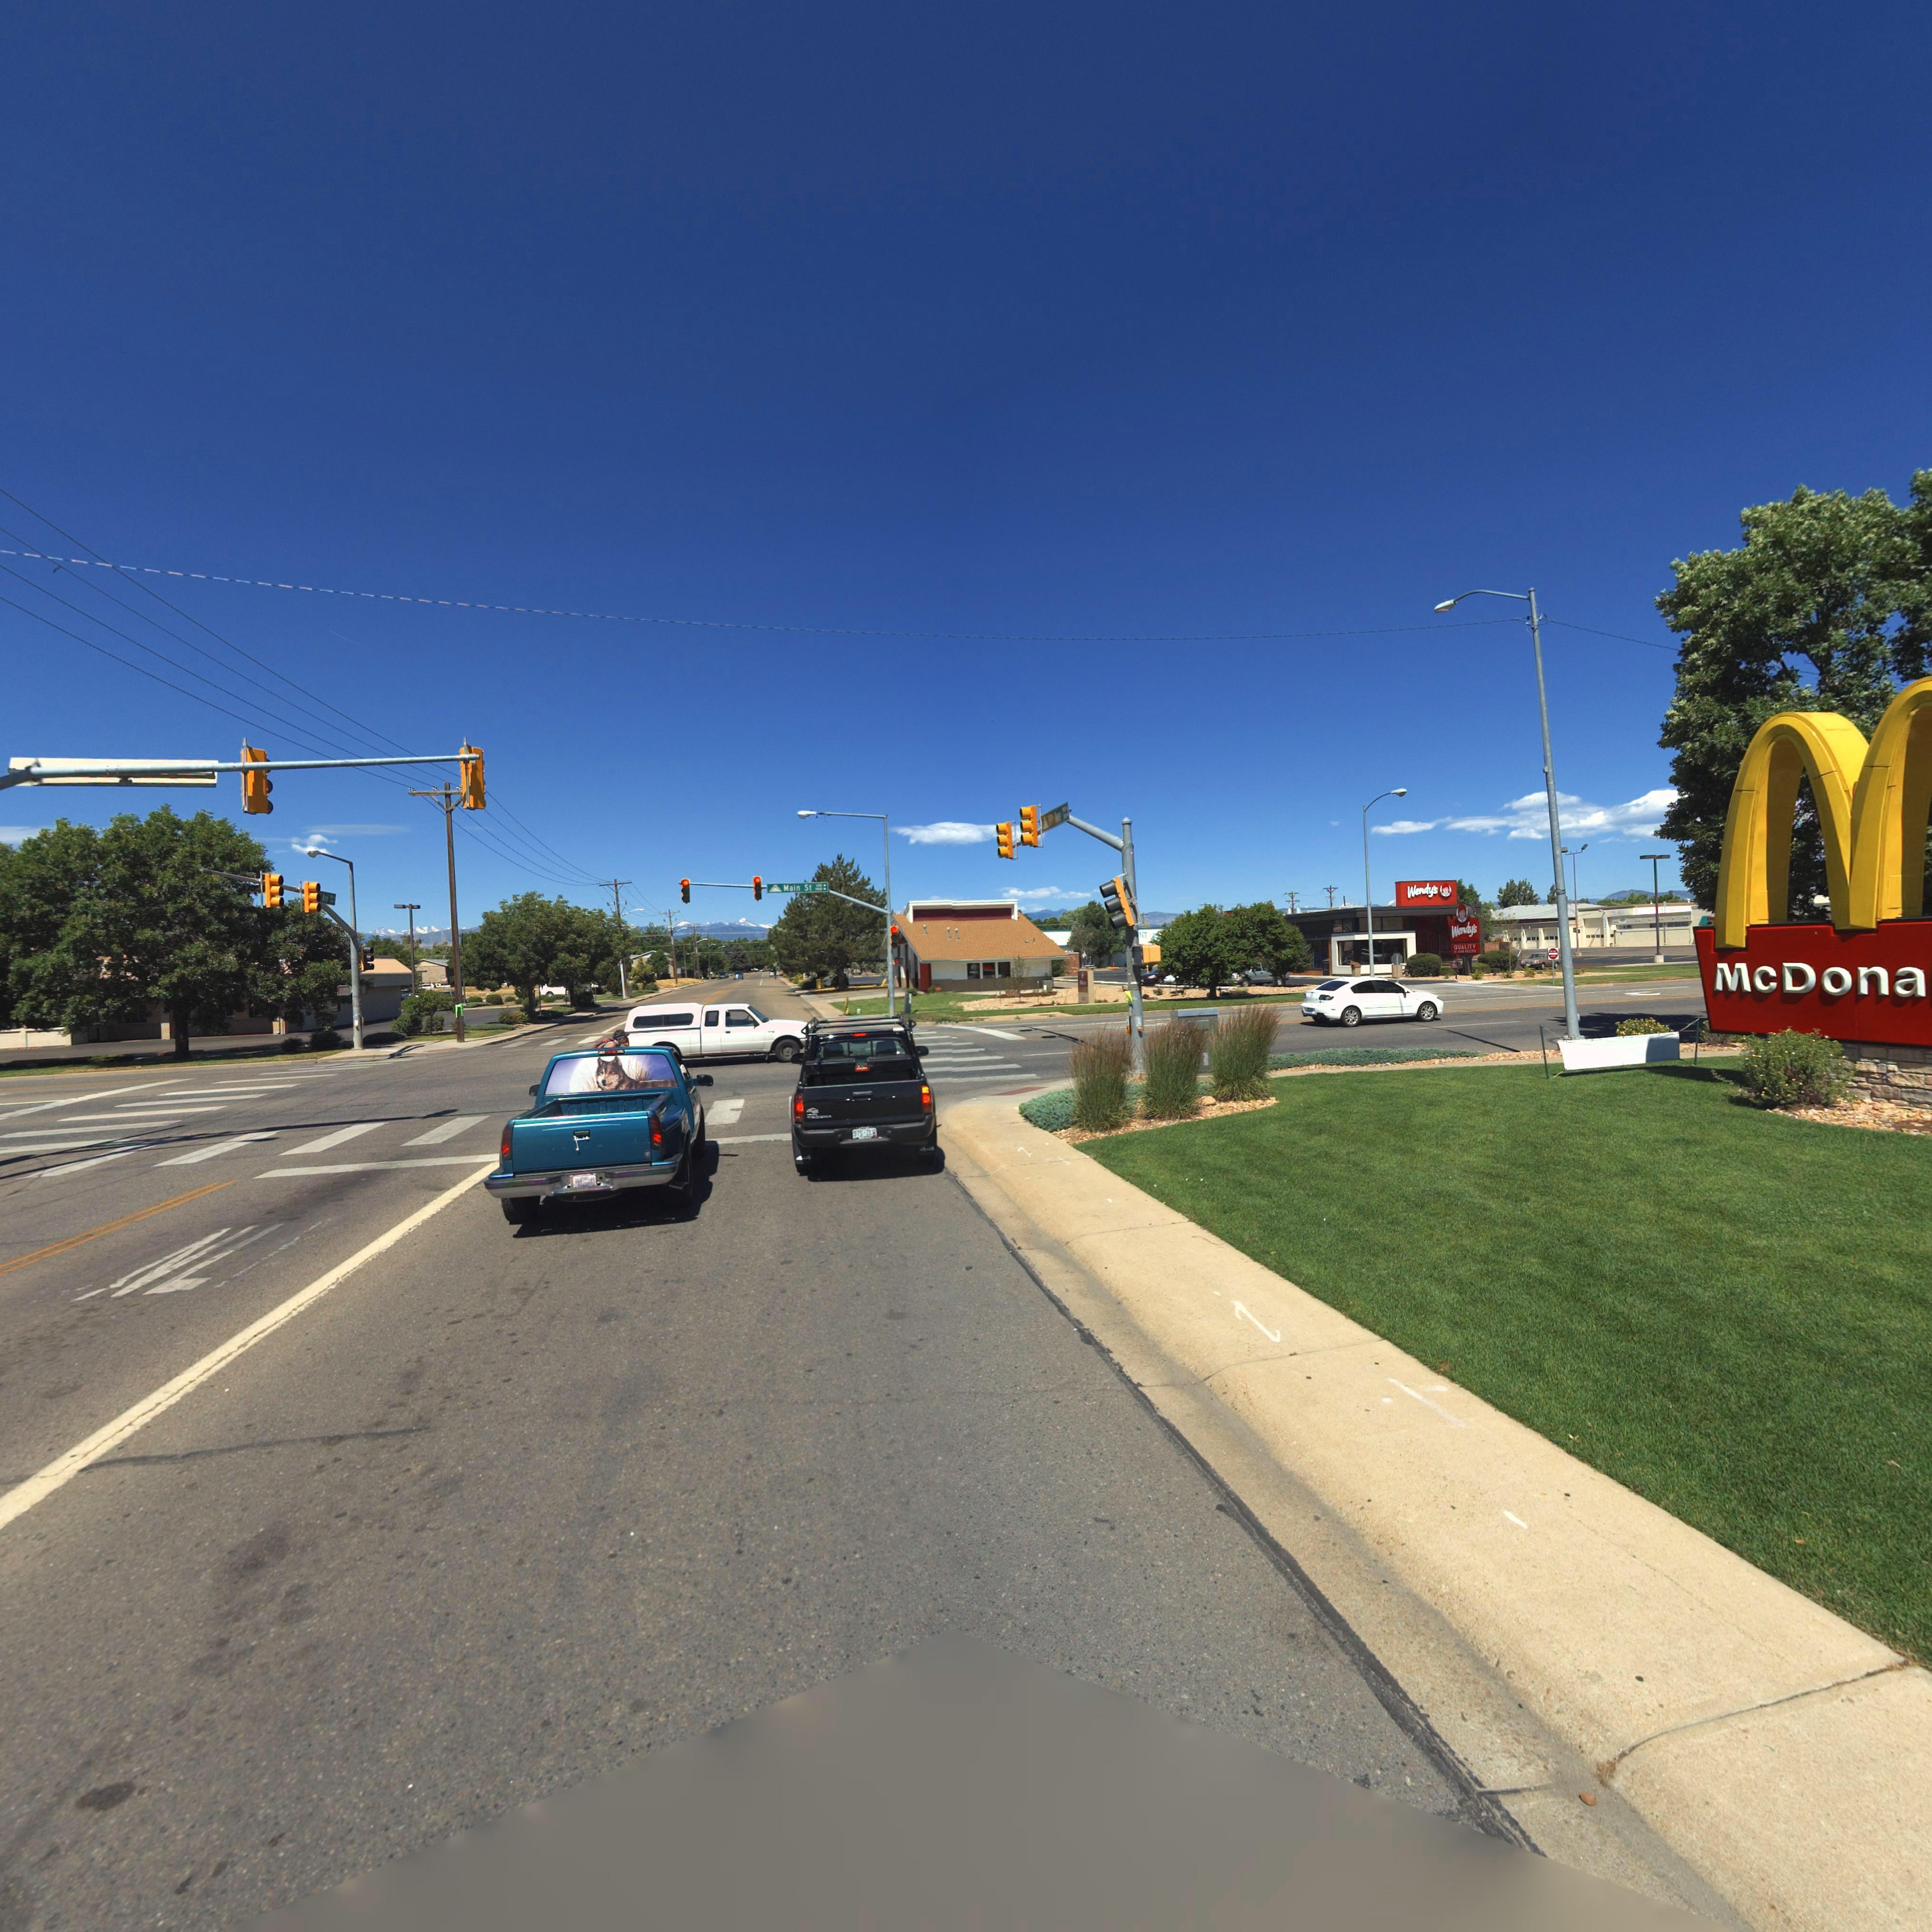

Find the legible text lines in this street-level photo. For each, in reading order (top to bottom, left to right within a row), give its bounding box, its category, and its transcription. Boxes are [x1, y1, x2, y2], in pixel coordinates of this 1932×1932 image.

[1047, 811, 1062, 827] StreetName: 19th Ave
[783, 884, 812, 891] StreetName: Main St
[815, 883, 822, 887] StreetNumberRange: 600
[814, 887, 827, 890] StreetNumberRange: 1*00->
[1407, 882, 1439, 898] BusinessName: Wendy's
[321, 893, 329, 903] StreetName: Ave
[1450, 920, 1477, 938] BusinessName: Wendy's
[1079, 979, 1086, 986] BusinessName: j**y*u*e
[1712, 962, 1926, 997] BusinessName: McDona